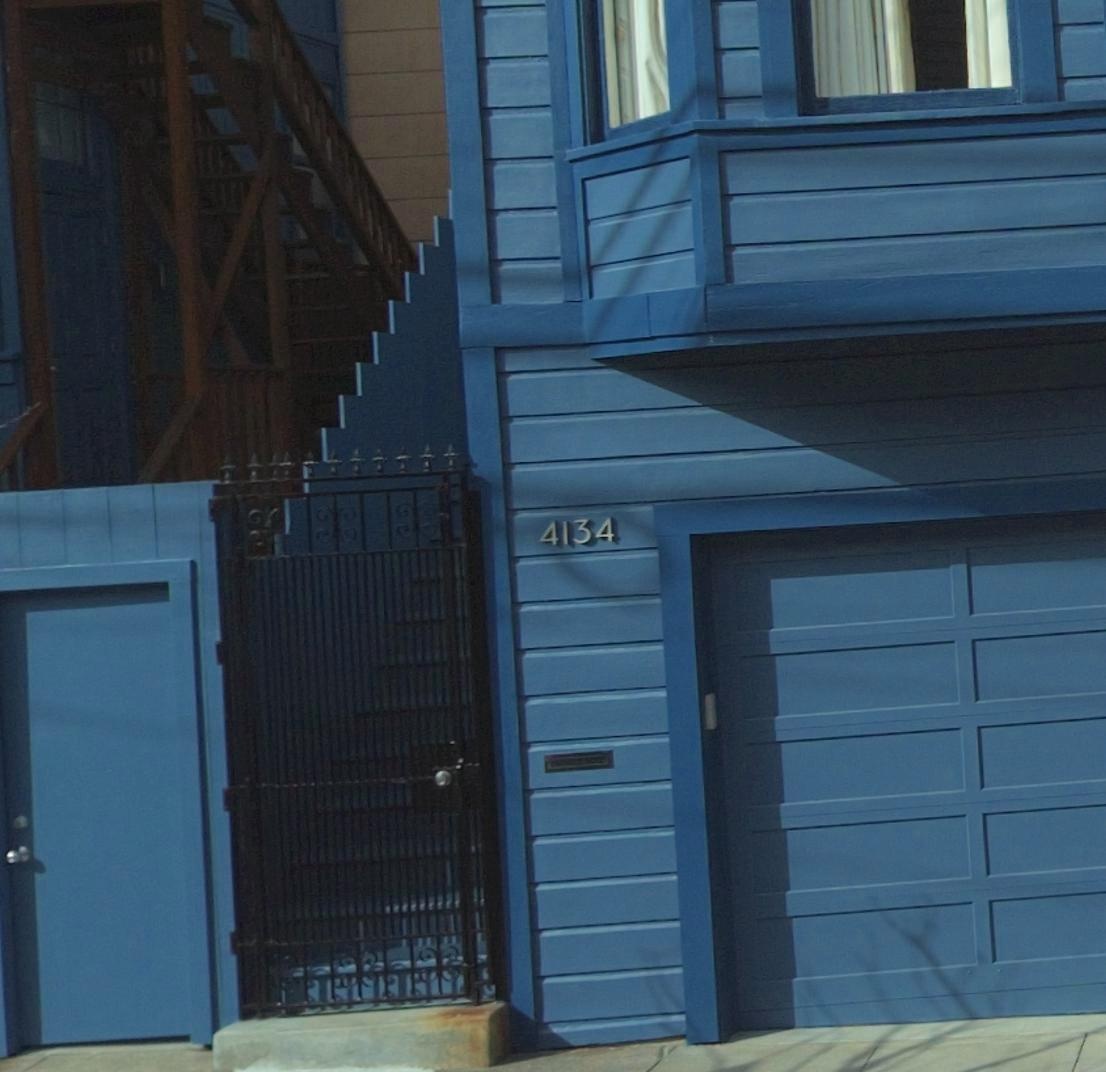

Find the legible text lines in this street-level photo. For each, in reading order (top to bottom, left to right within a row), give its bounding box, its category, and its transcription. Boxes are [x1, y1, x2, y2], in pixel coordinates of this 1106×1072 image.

[538, 514, 618, 549] StreetNumber: 4134